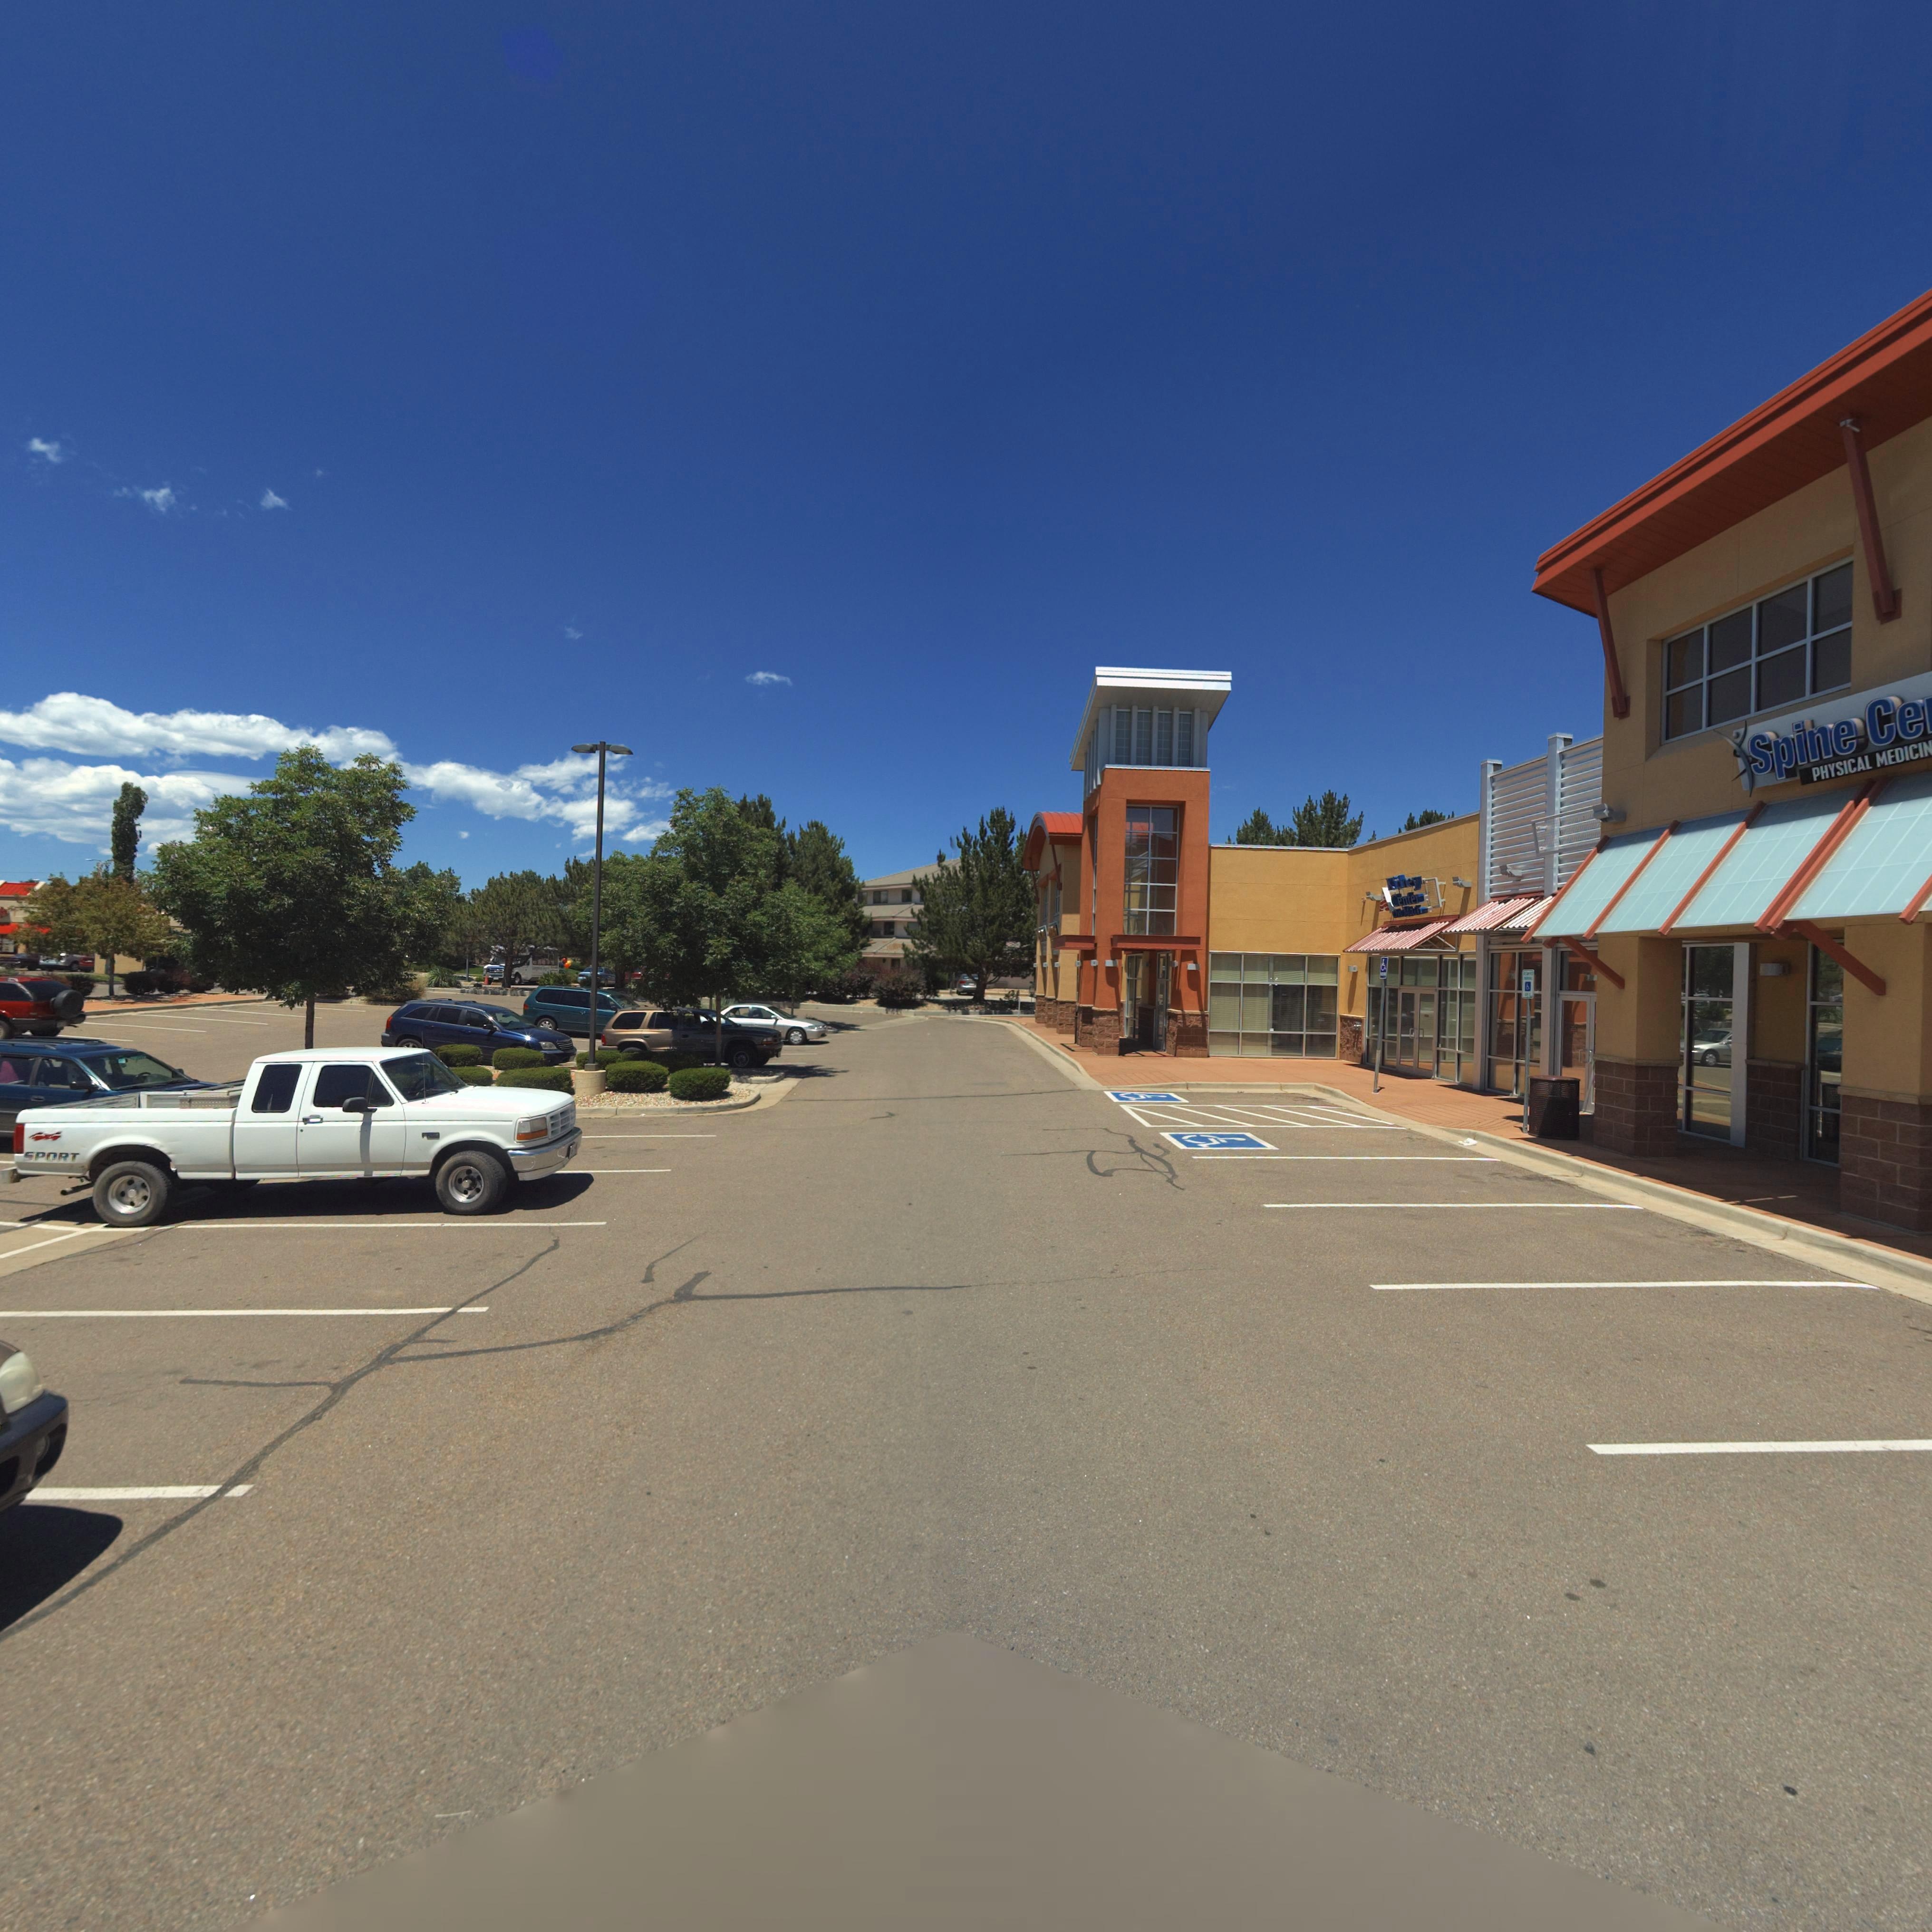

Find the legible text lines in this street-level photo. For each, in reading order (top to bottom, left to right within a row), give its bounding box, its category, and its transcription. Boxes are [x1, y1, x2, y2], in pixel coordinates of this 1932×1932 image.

[1746, 696, 1926, 781] BusinessName: Spine Ce
[1810, 741, 1925, 782] BusinessName: PHYSICAL MEDICI
[1384, 873, 1421, 892] BusinessName: Kidney
[1391, 890, 1424, 907] BusinessName: Center